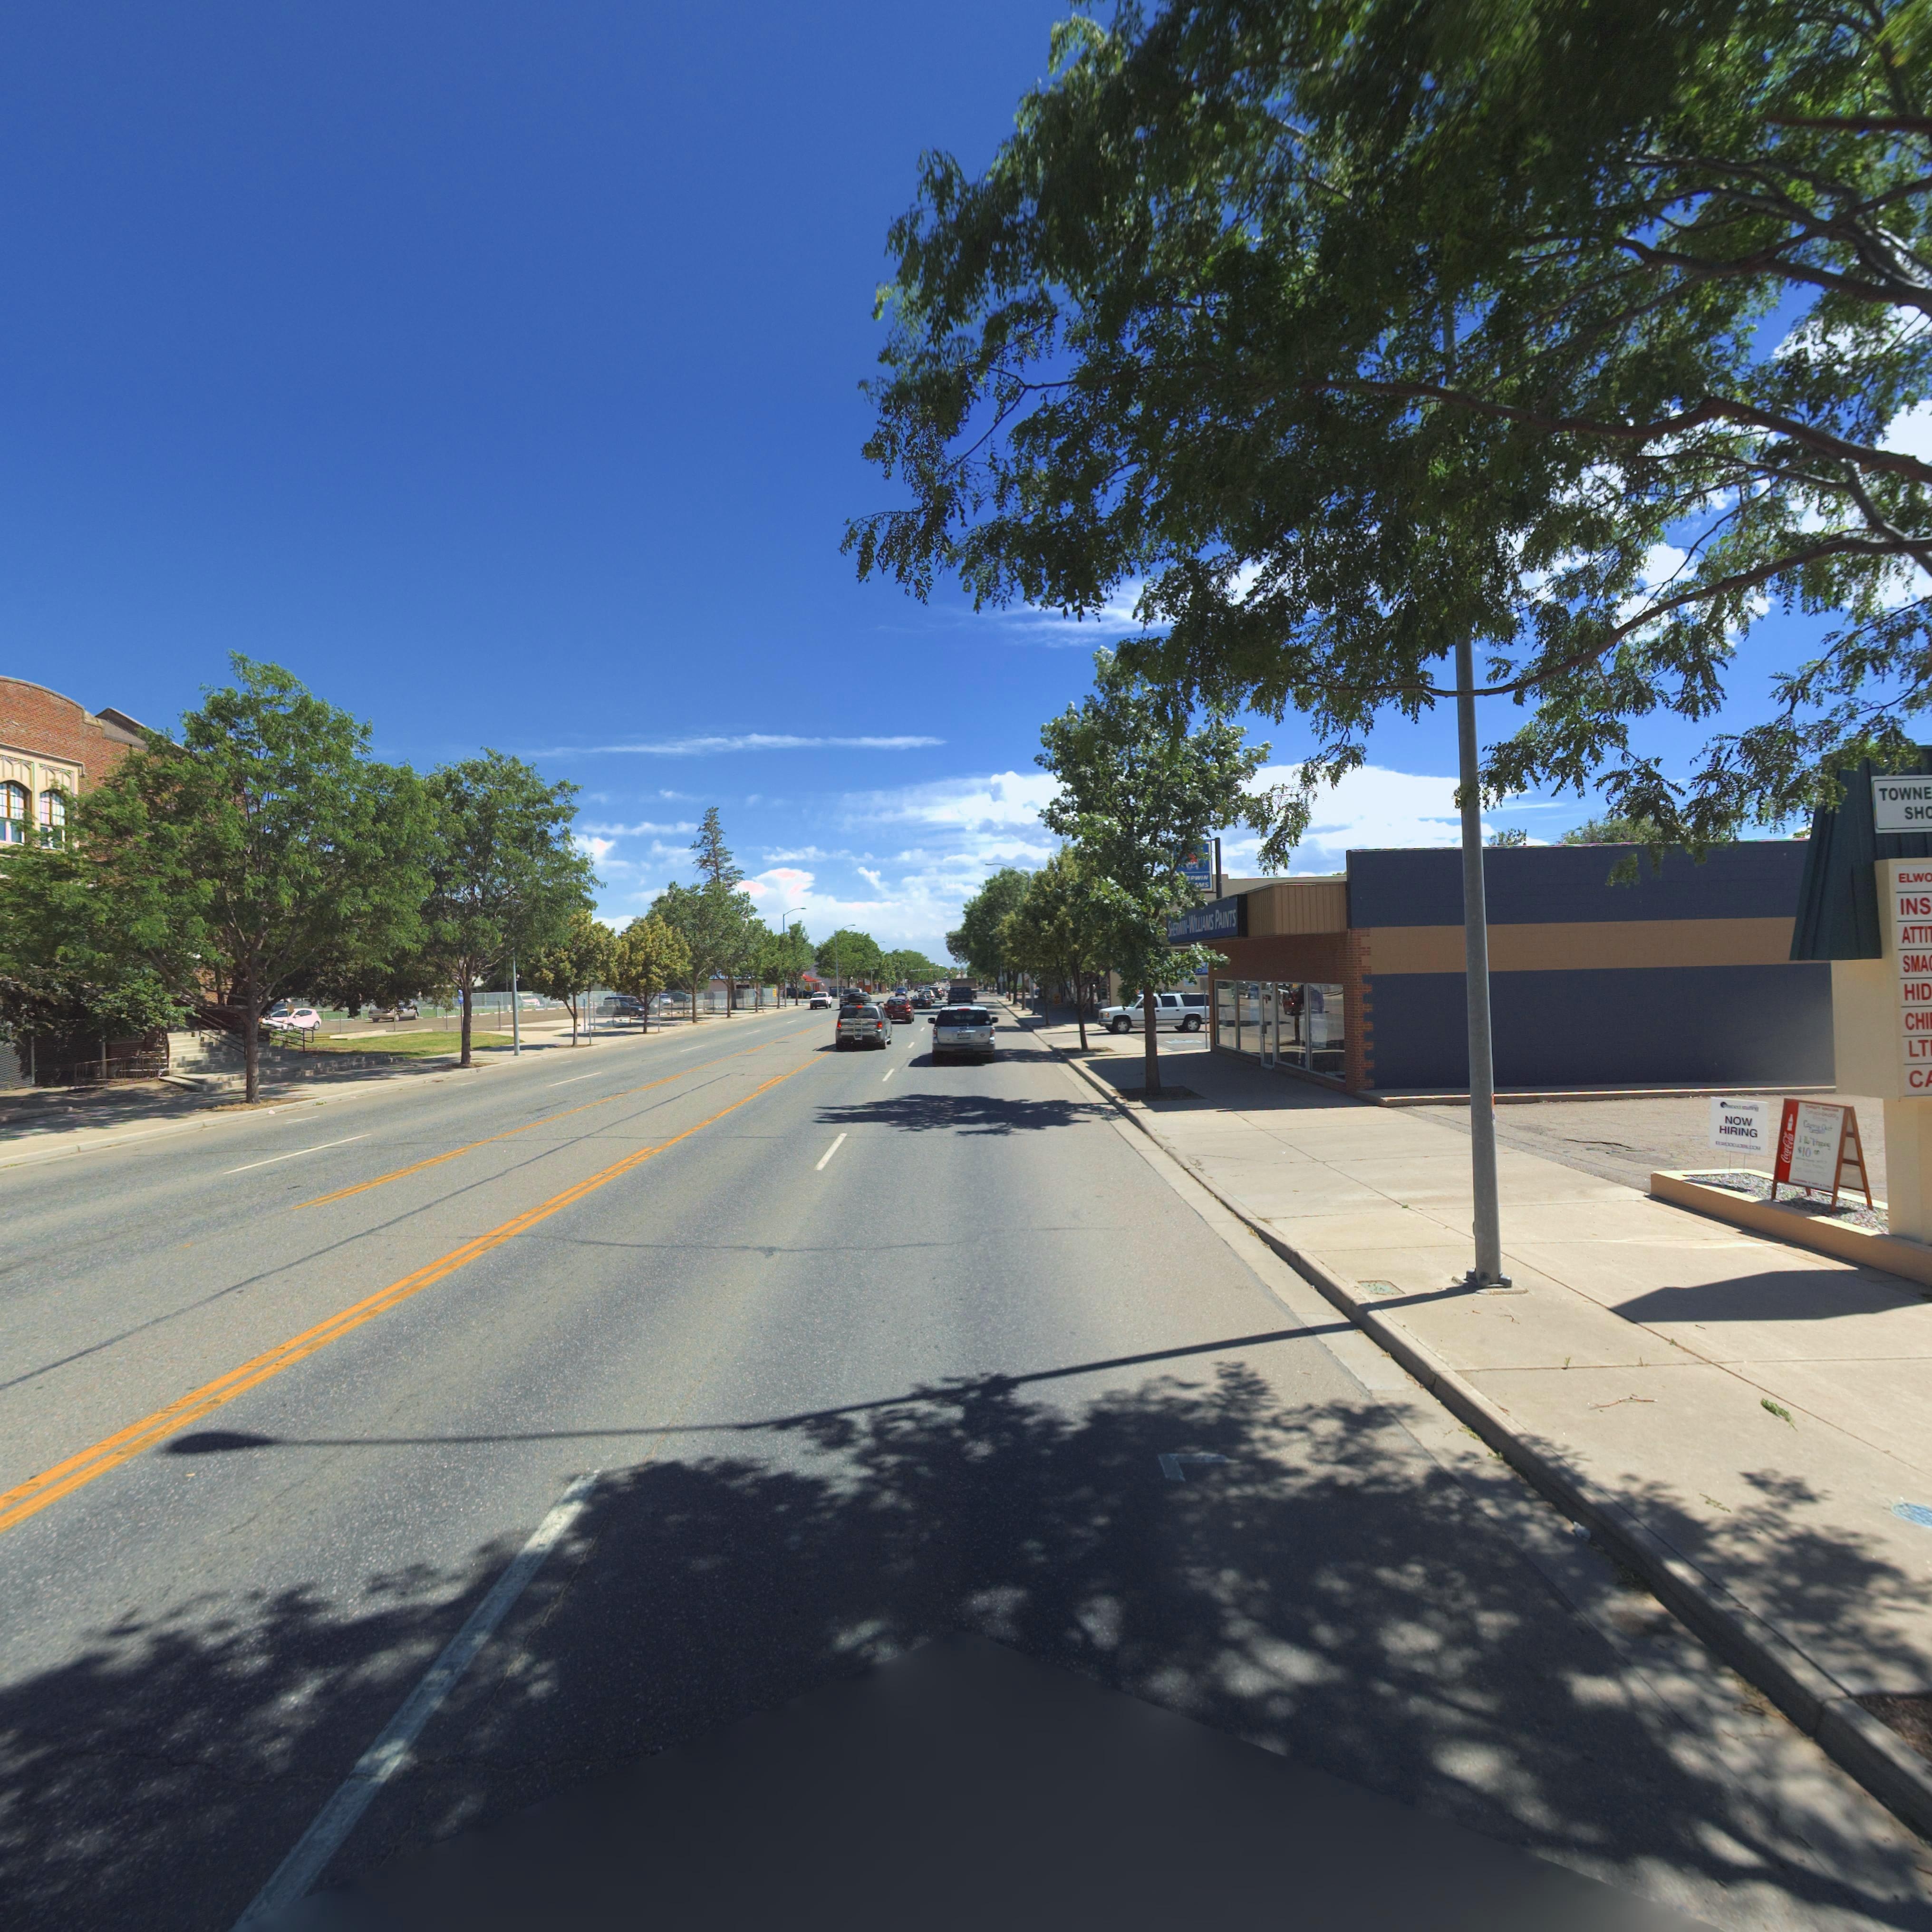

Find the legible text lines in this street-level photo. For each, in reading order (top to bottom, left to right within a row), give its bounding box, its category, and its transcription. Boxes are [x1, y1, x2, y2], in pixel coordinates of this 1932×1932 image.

[1185, 874, 1208, 881] BusinessName: E*WIN
[1198, 881, 1209, 888] BusinessName: MS
[1898, 872, 1924, 883] BusinessName: ELW
[1167, 908, 1236, 937] BusinessName: SHERWIN-WILLIAMS PAINTS
[1901, 926, 1928, 944] BusinessName: ATTI
[1902, 955, 1929, 973] BusinessName: SMA
[1903, 983, 1931, 1001] BusinessName: HID
[1908, 1039, 1929, 1057] BusinessName: LT